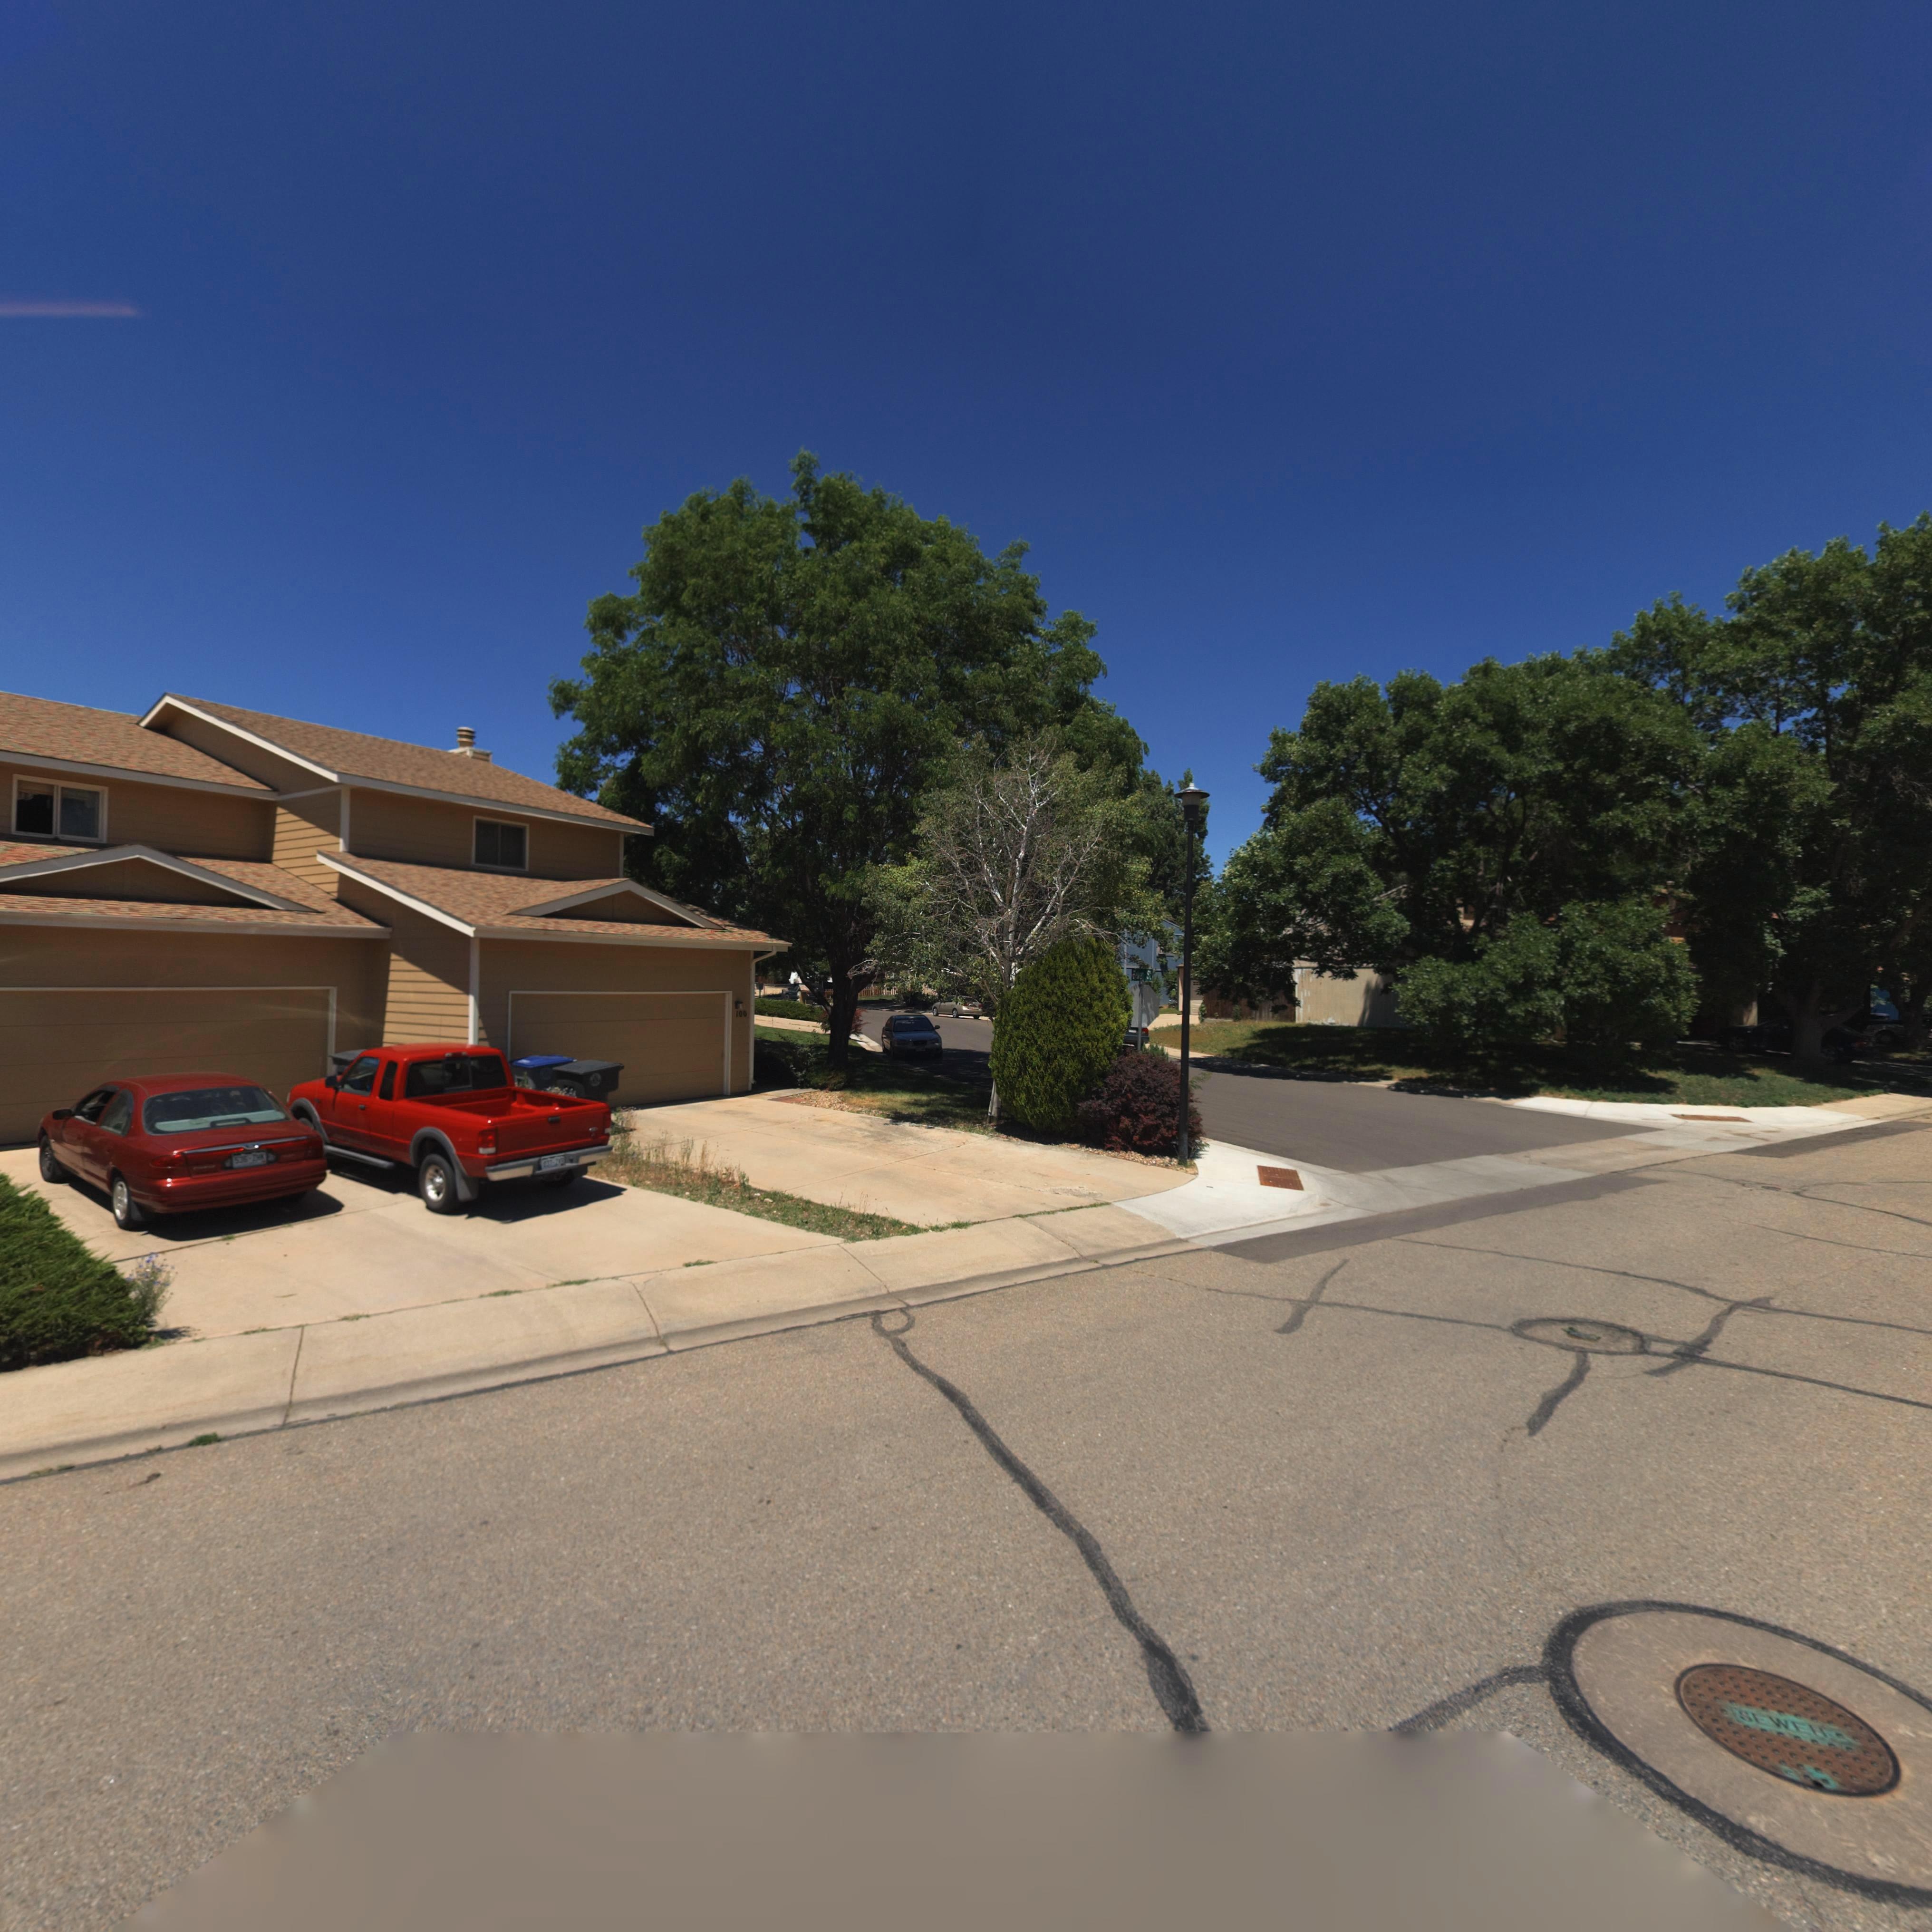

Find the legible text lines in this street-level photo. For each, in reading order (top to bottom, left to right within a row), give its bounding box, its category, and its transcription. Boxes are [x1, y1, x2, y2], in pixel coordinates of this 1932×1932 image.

[1132, 969, 1151, 980] StreetName: Baker St
[736, 1010, 747, 1017] StreetNumber: 100